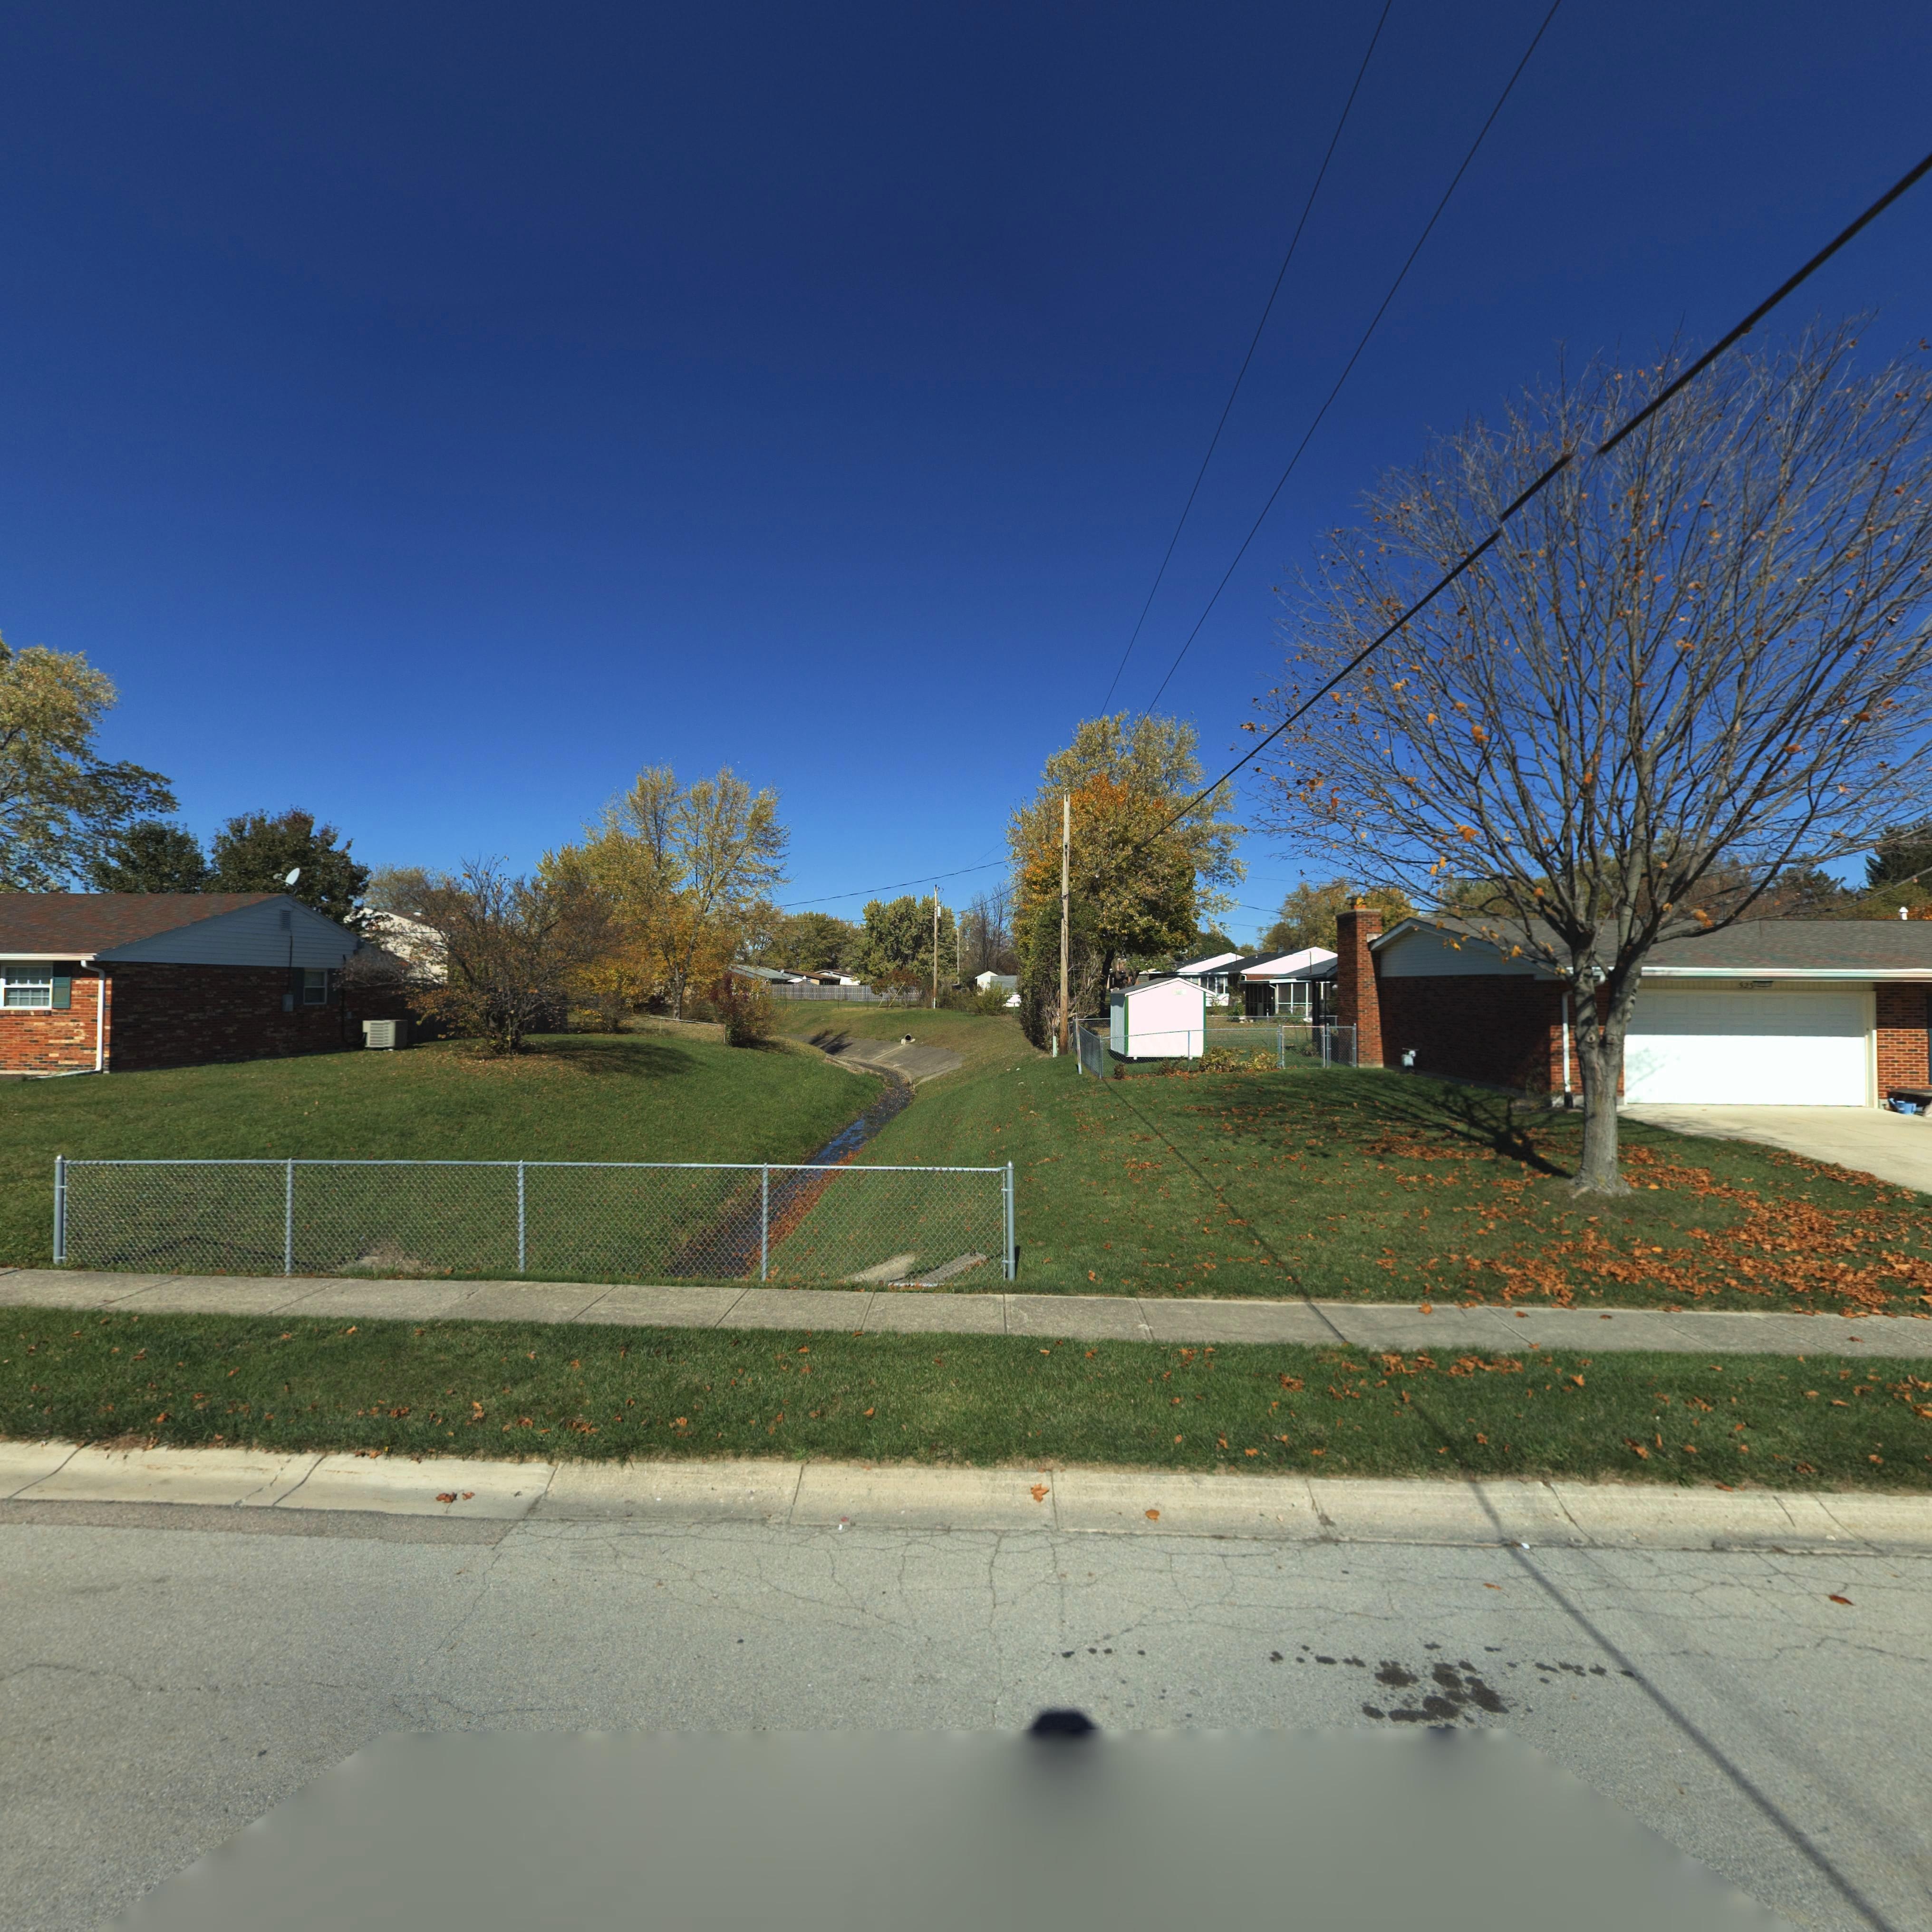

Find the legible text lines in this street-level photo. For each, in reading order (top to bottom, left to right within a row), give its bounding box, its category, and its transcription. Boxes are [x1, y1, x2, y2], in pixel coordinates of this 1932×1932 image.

[1738, 981, 1755, 990] StreetNumber: 52*